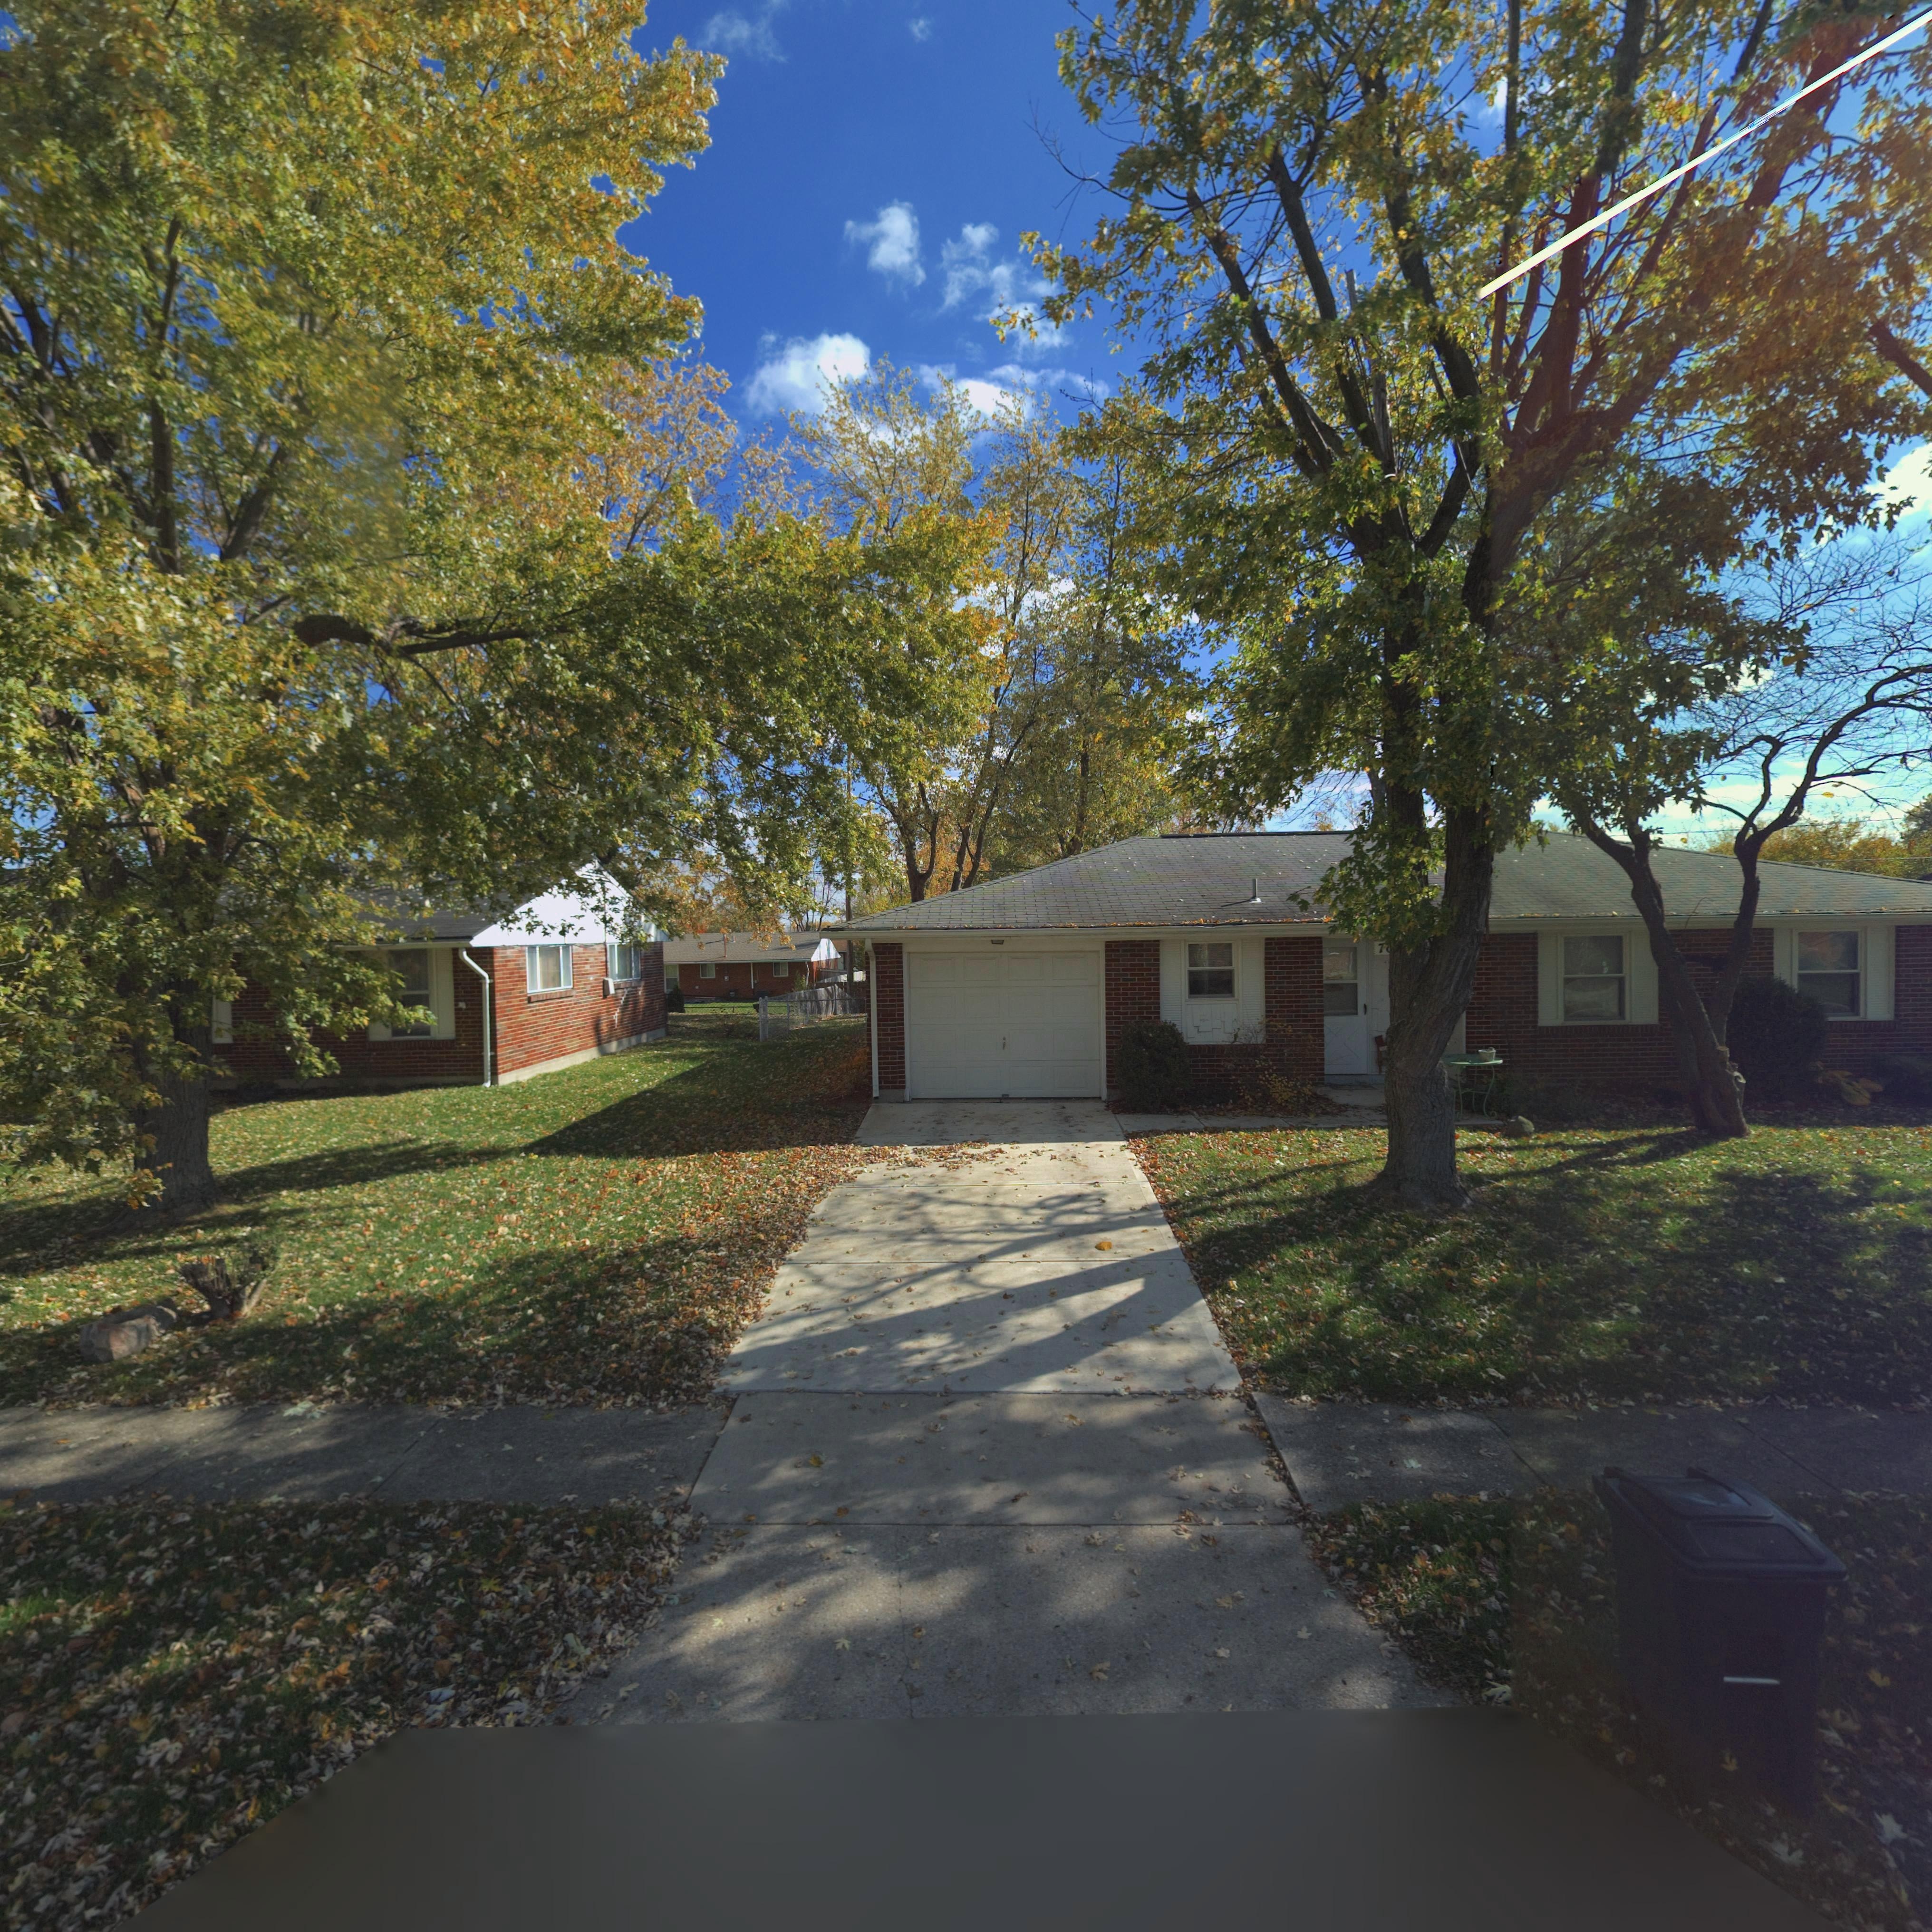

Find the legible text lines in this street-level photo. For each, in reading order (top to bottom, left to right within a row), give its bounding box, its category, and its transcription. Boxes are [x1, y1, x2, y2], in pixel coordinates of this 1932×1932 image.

[1377, 941, 1386, 955] StreetNumber: 7